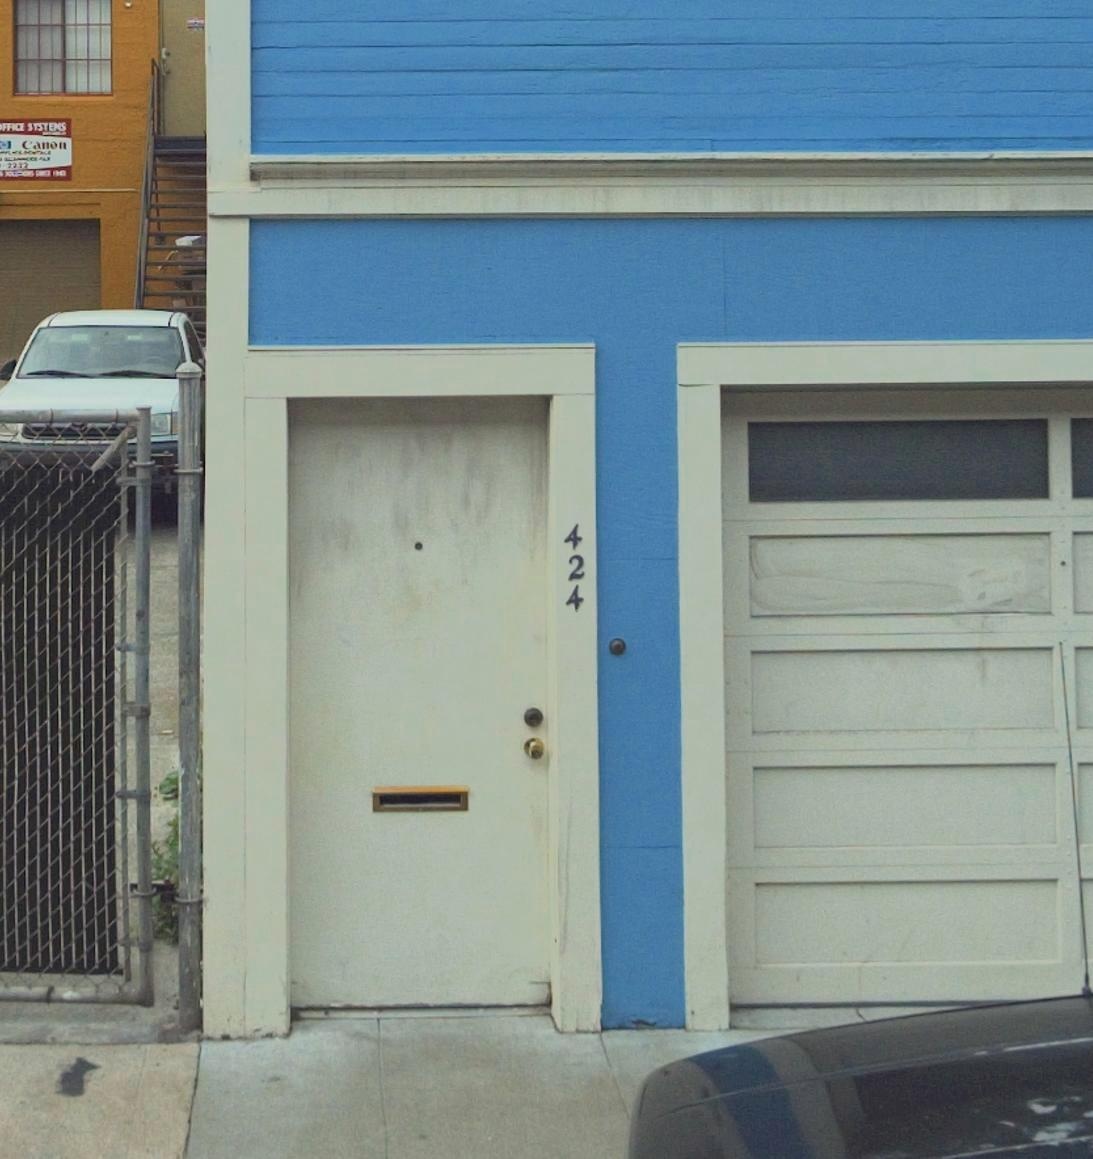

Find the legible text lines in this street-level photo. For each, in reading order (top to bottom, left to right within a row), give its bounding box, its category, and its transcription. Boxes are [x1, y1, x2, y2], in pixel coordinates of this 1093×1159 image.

[1, 120, 69, 133] None: FFICE *TSYE*S
[19, 138, 70, 152] None: Canon
[561, 521, 587, 616] StreetNumber: 424